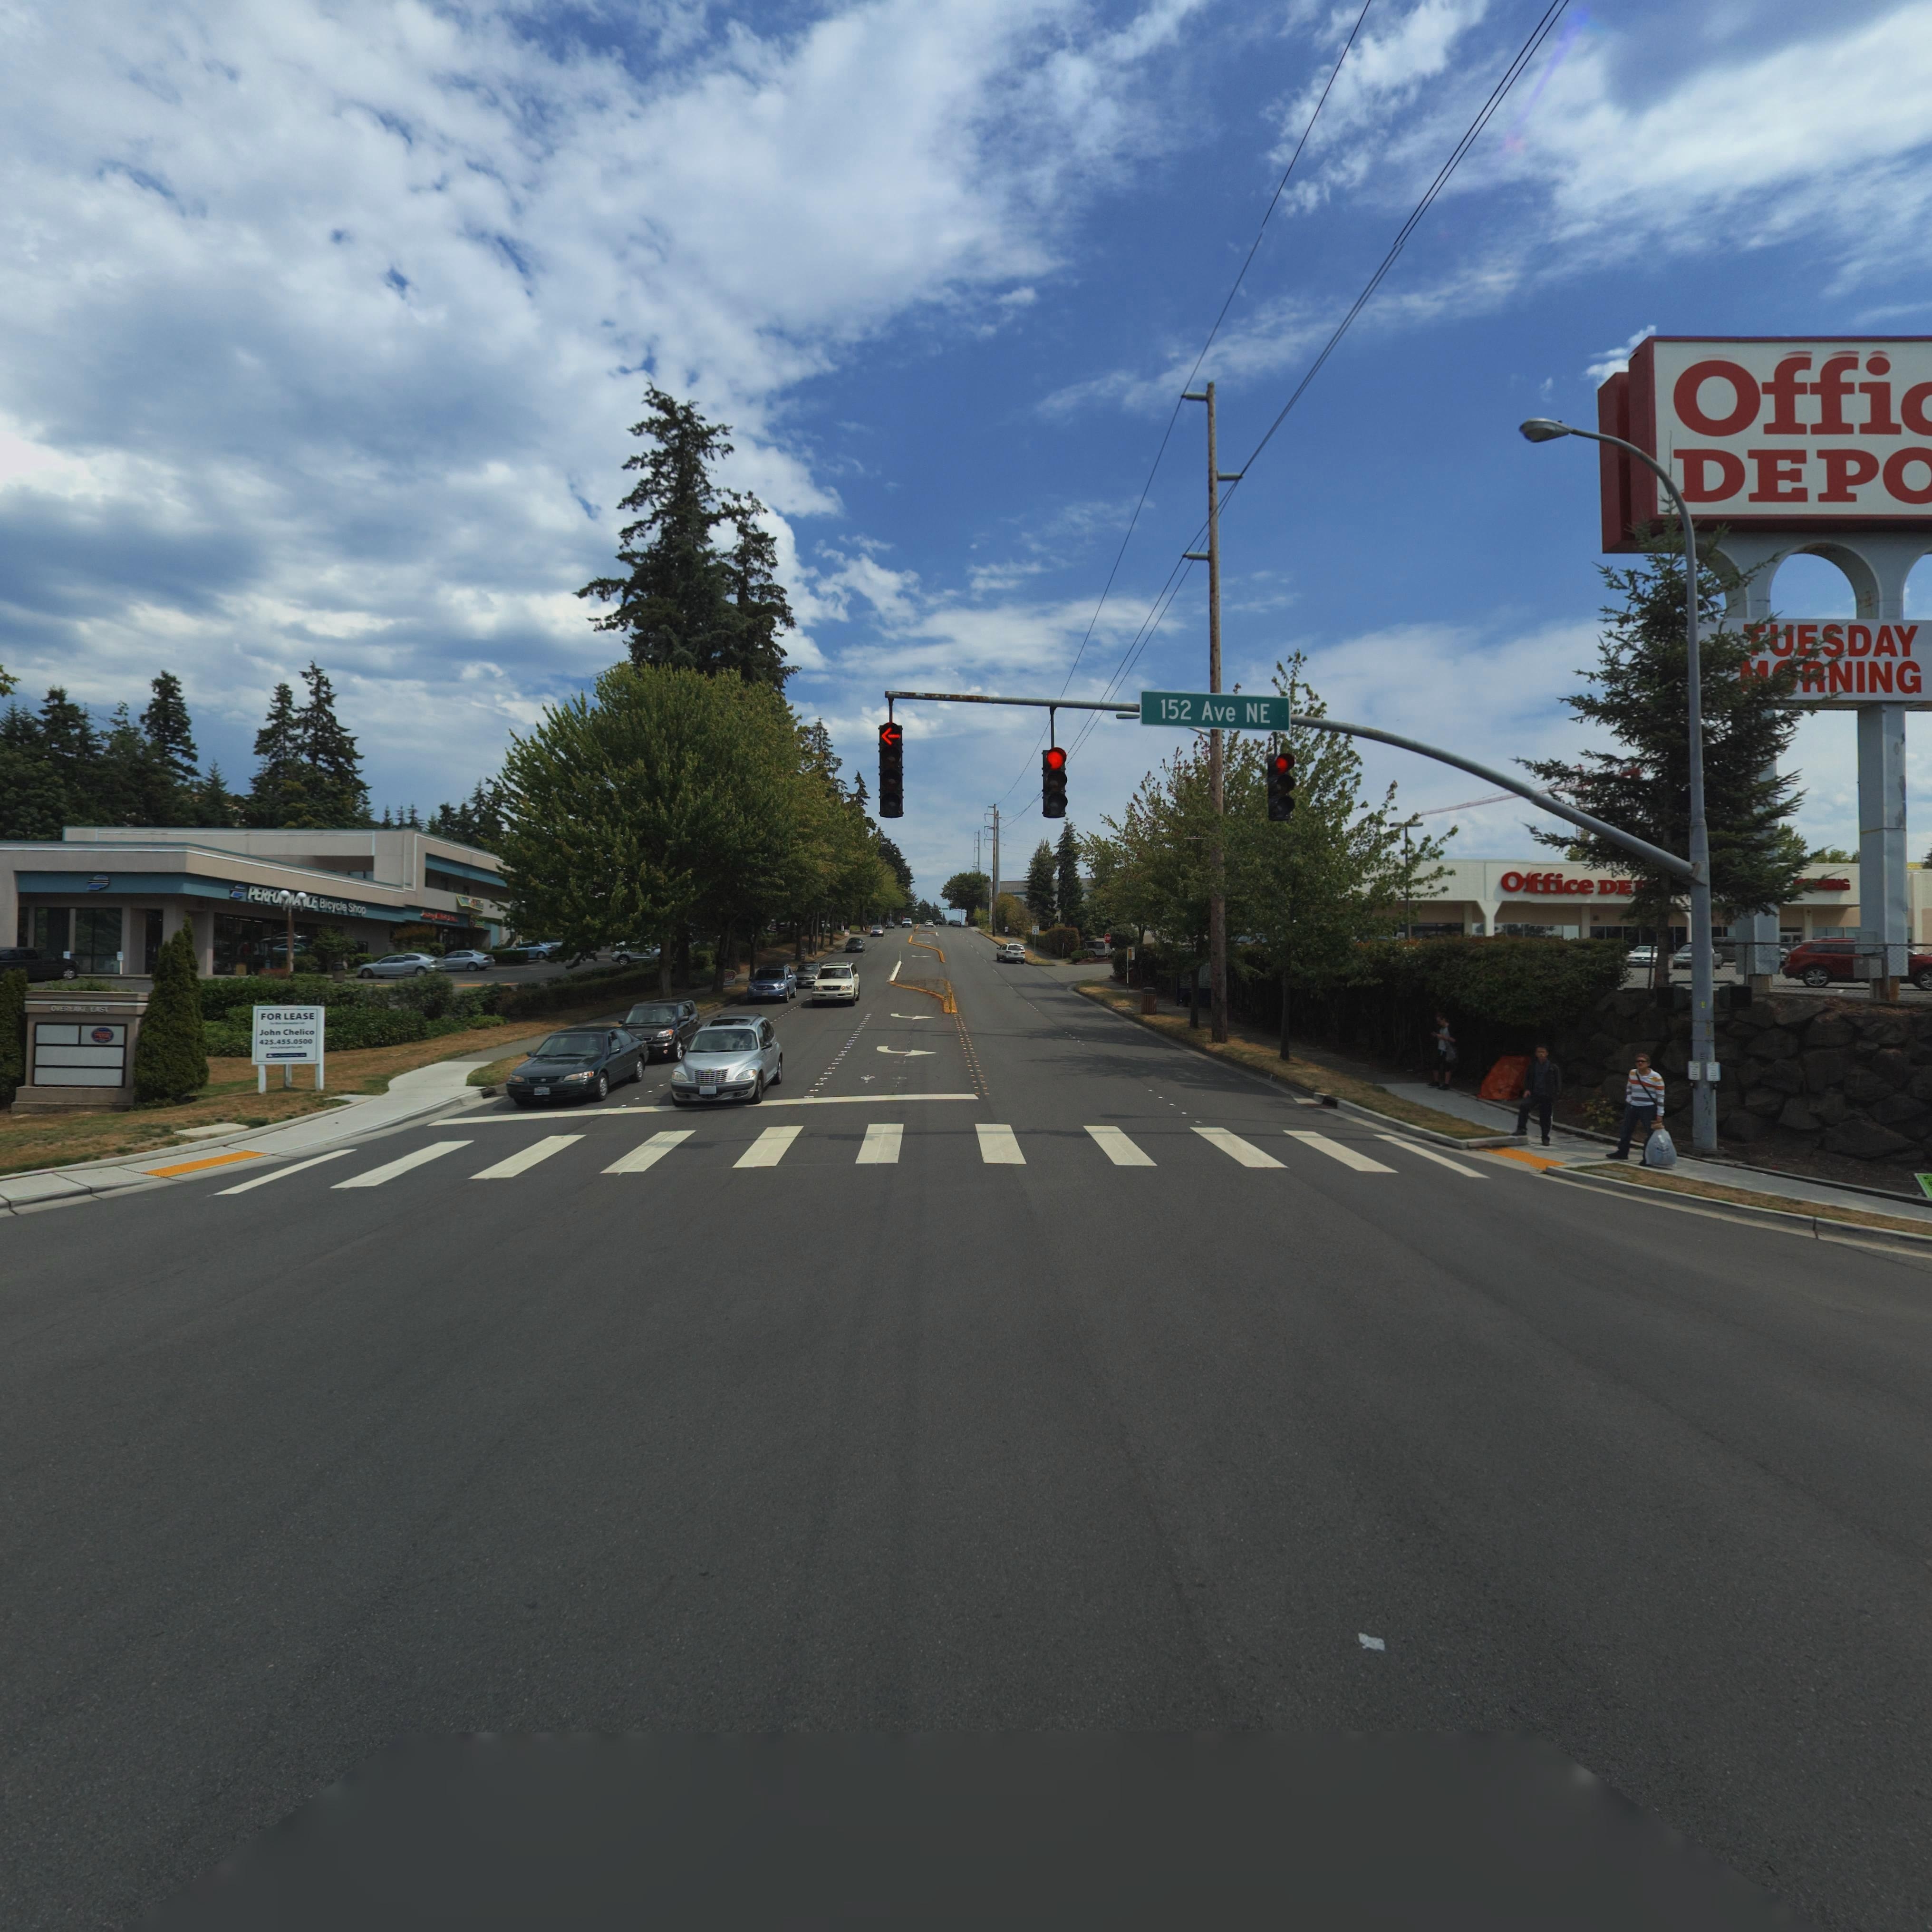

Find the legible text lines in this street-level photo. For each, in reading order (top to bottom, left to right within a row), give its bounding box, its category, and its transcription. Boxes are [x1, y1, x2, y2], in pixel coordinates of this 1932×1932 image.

[1670, 352, 1930, 435] BusinessName: Offi*
[1672, 446, 1932, 503] BusinessName: DEP*
[1744, 625, 1918, 657] BusinessName: ***SDAY
[1739, 658, 1922, 693] BusinessName: ***NING
[1159, 696, 1272, 725] StreetName: 152 Ave NE
[246, 885, 317, 909] BusinessName: PERFO****CE
[319, 896, 367, 917] BusinessName: Bicycle Shop
[1500, 869, 1635, 898] BusinessName: O*ffice DE